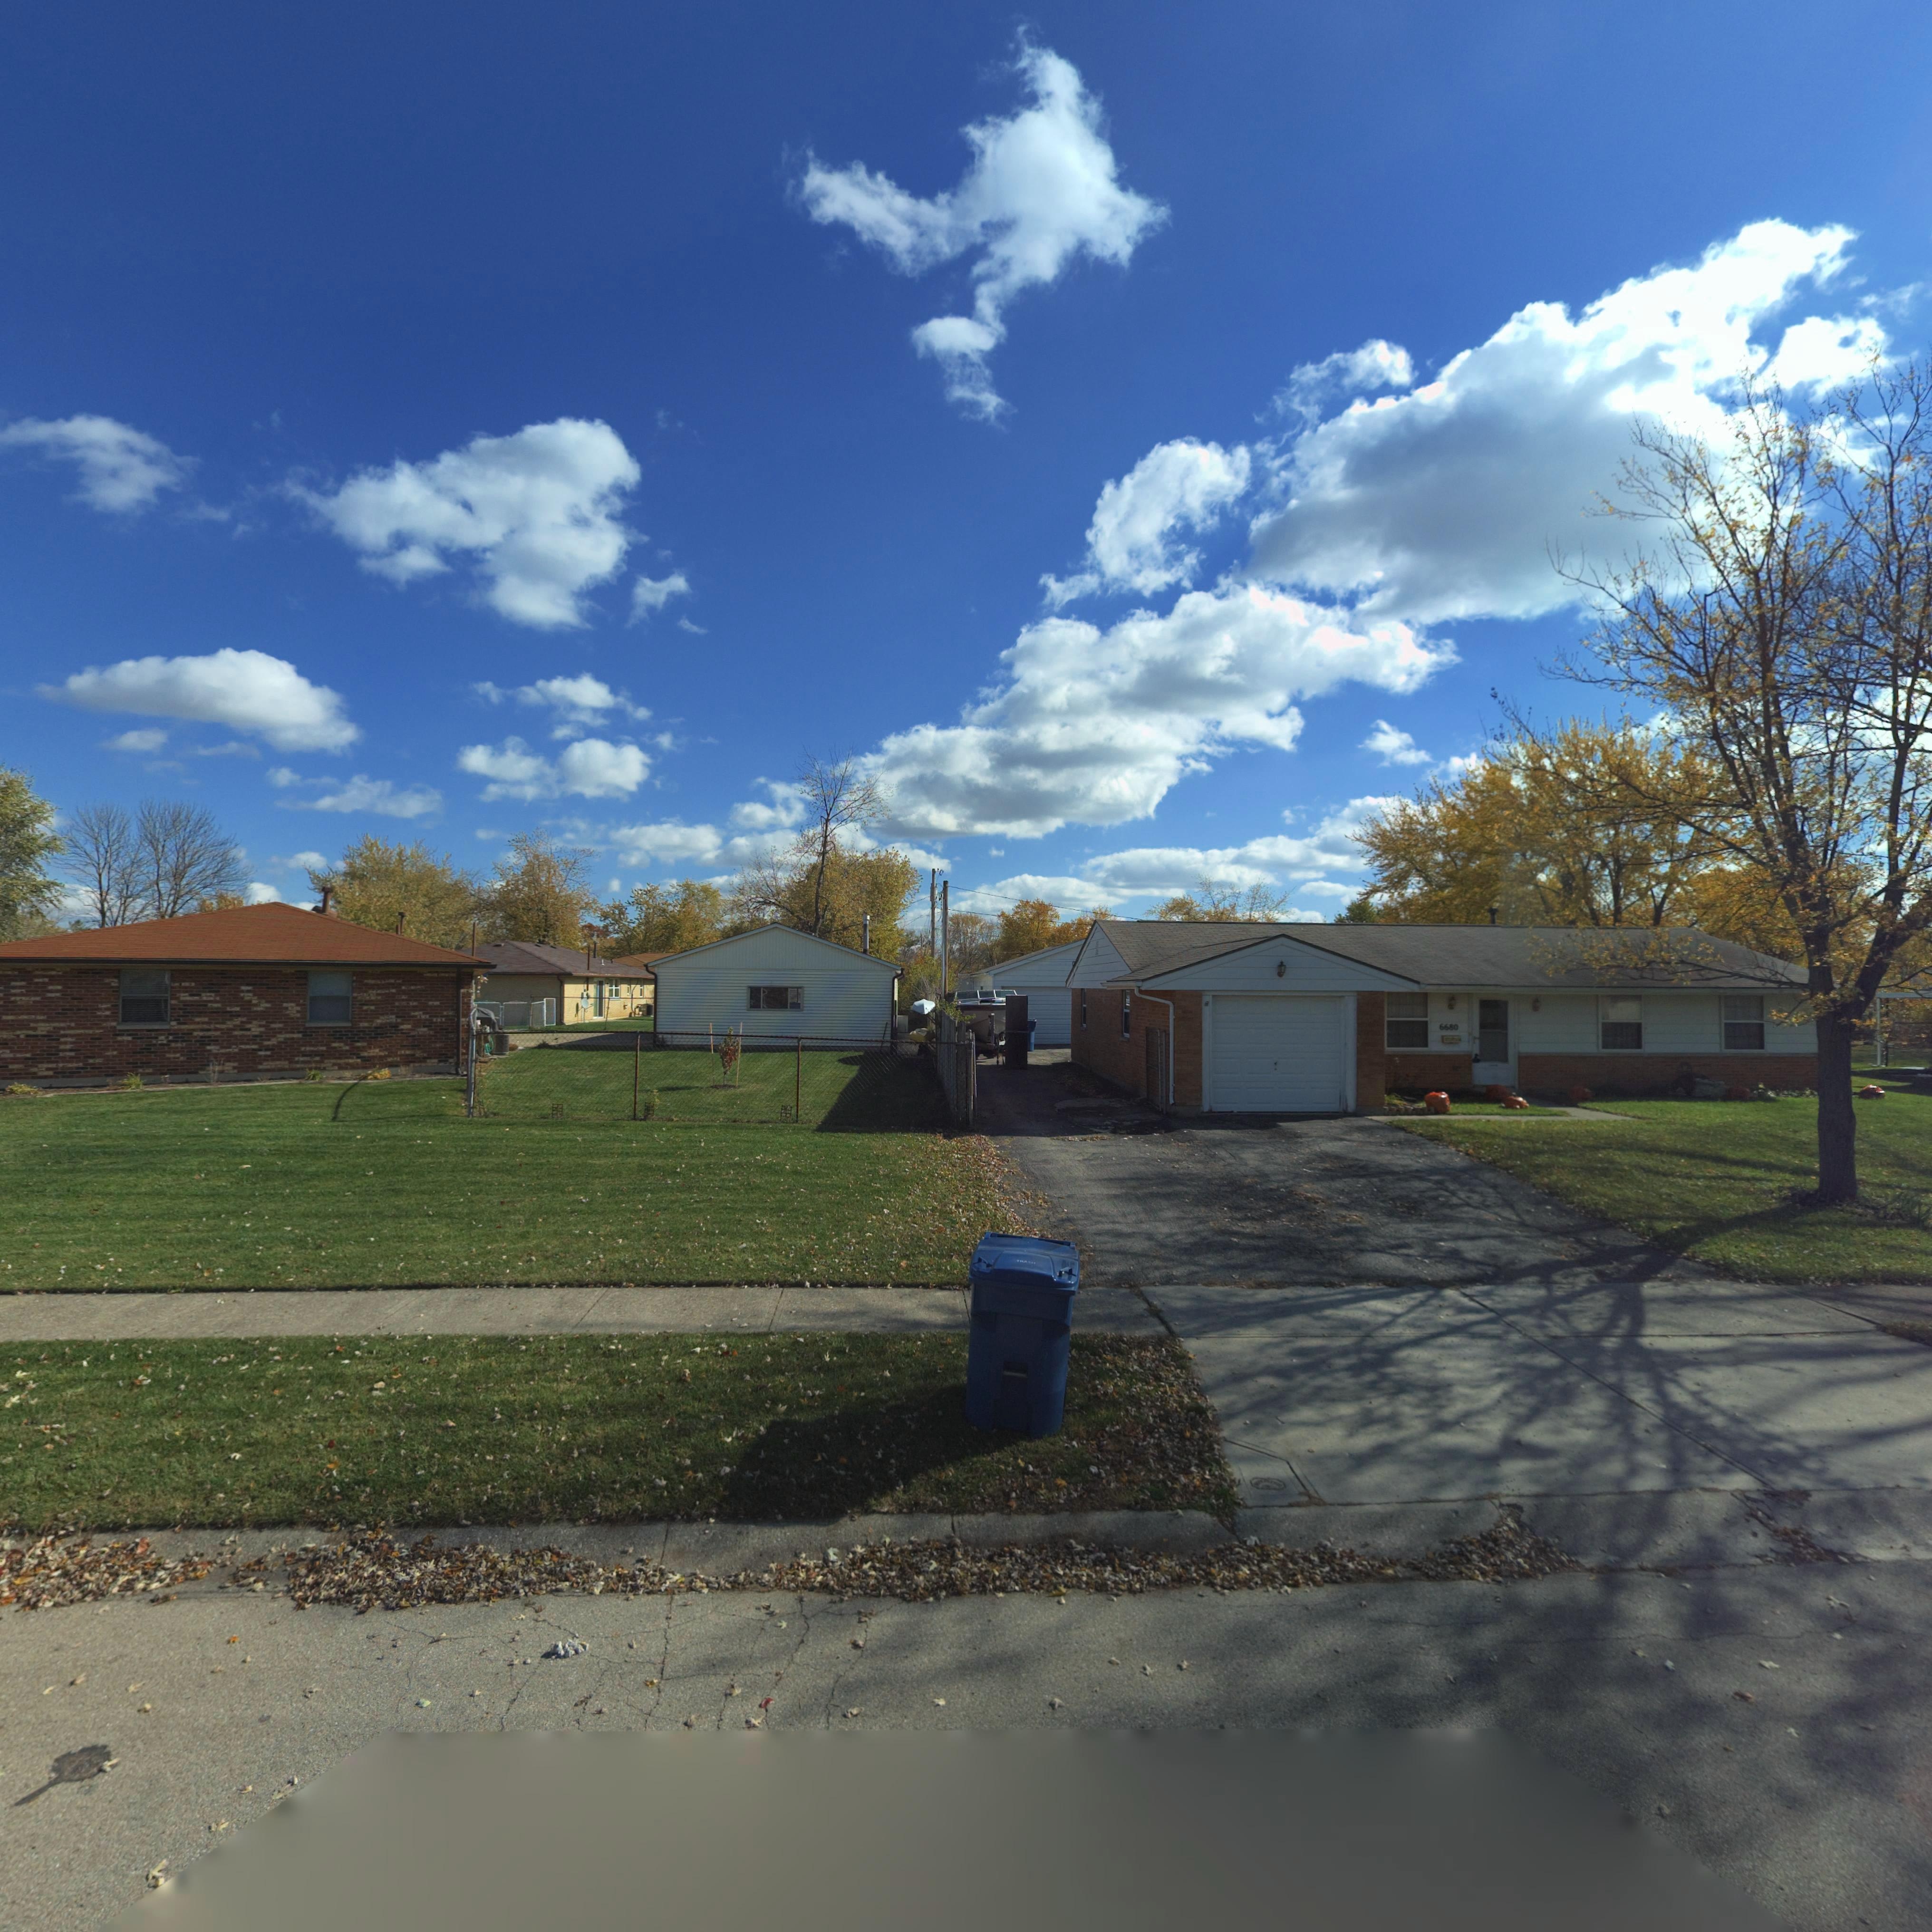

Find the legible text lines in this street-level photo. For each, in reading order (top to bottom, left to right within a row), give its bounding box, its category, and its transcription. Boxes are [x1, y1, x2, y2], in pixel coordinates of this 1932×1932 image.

[1439, 1023, 1459, 1031] StreetNumber: 6680